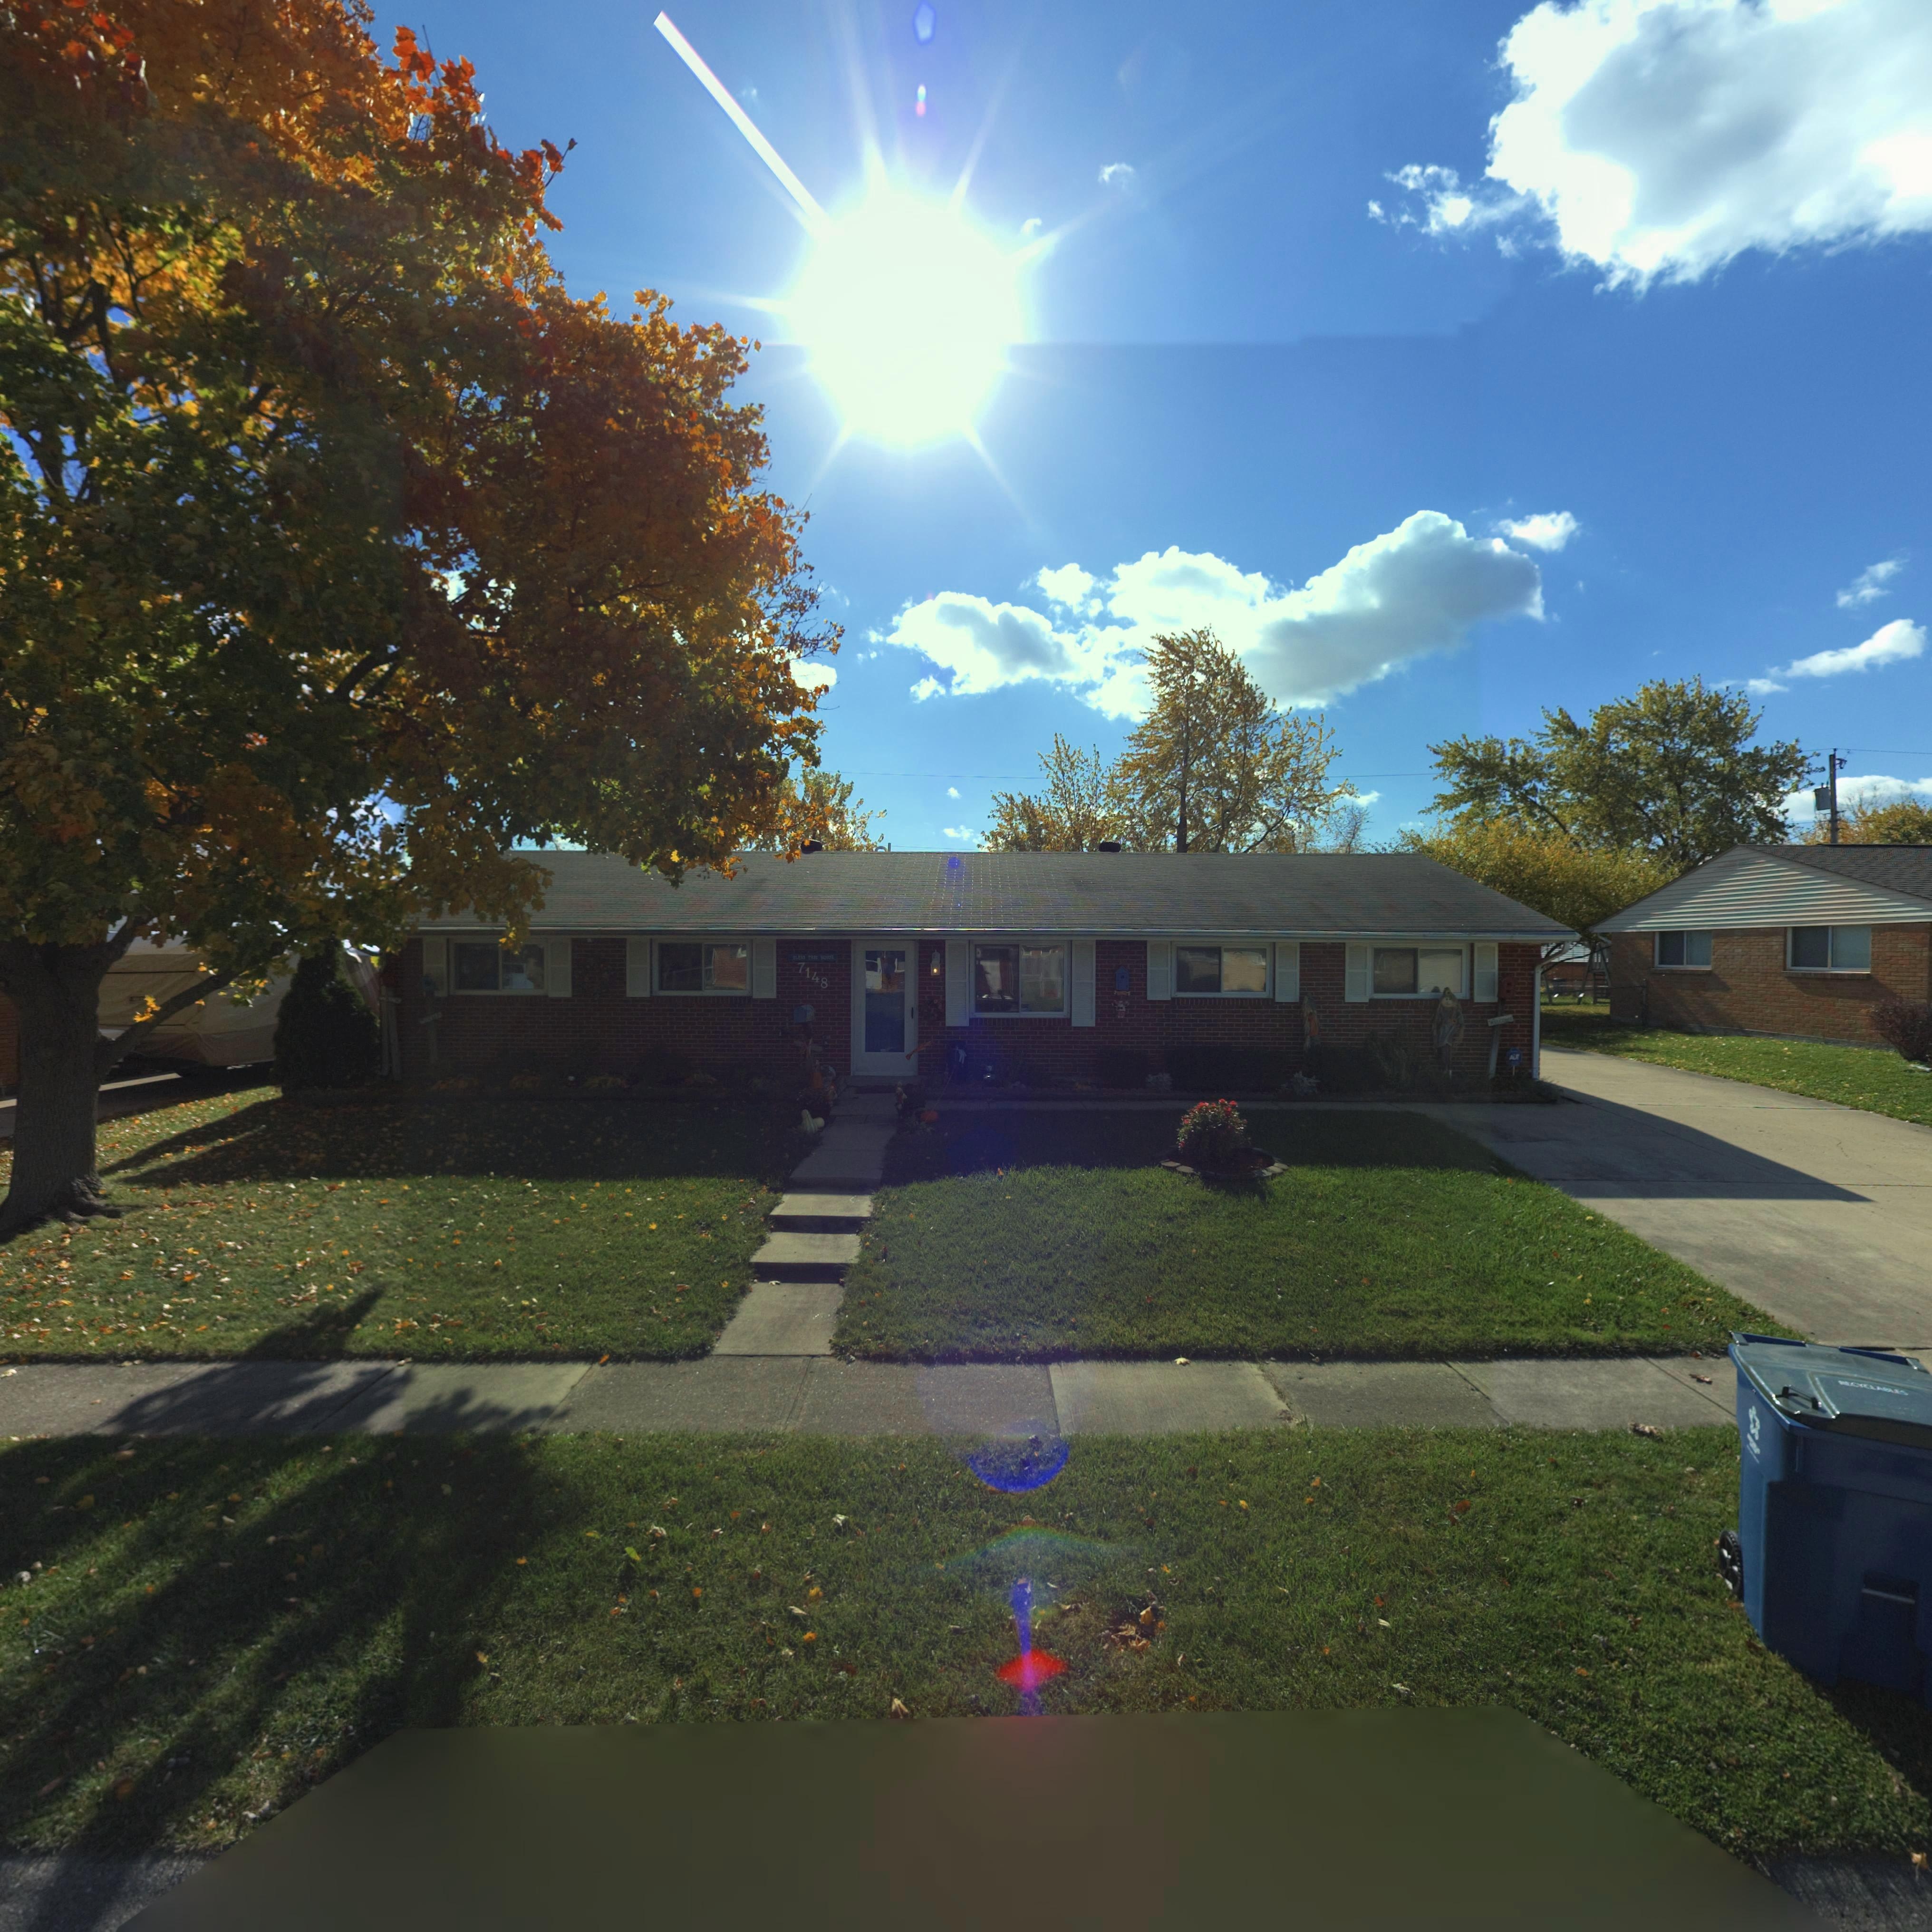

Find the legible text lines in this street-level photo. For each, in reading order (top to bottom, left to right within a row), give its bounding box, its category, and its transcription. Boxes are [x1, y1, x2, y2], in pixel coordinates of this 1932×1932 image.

[797, 961, 829, 990] StreetNumber: 7148